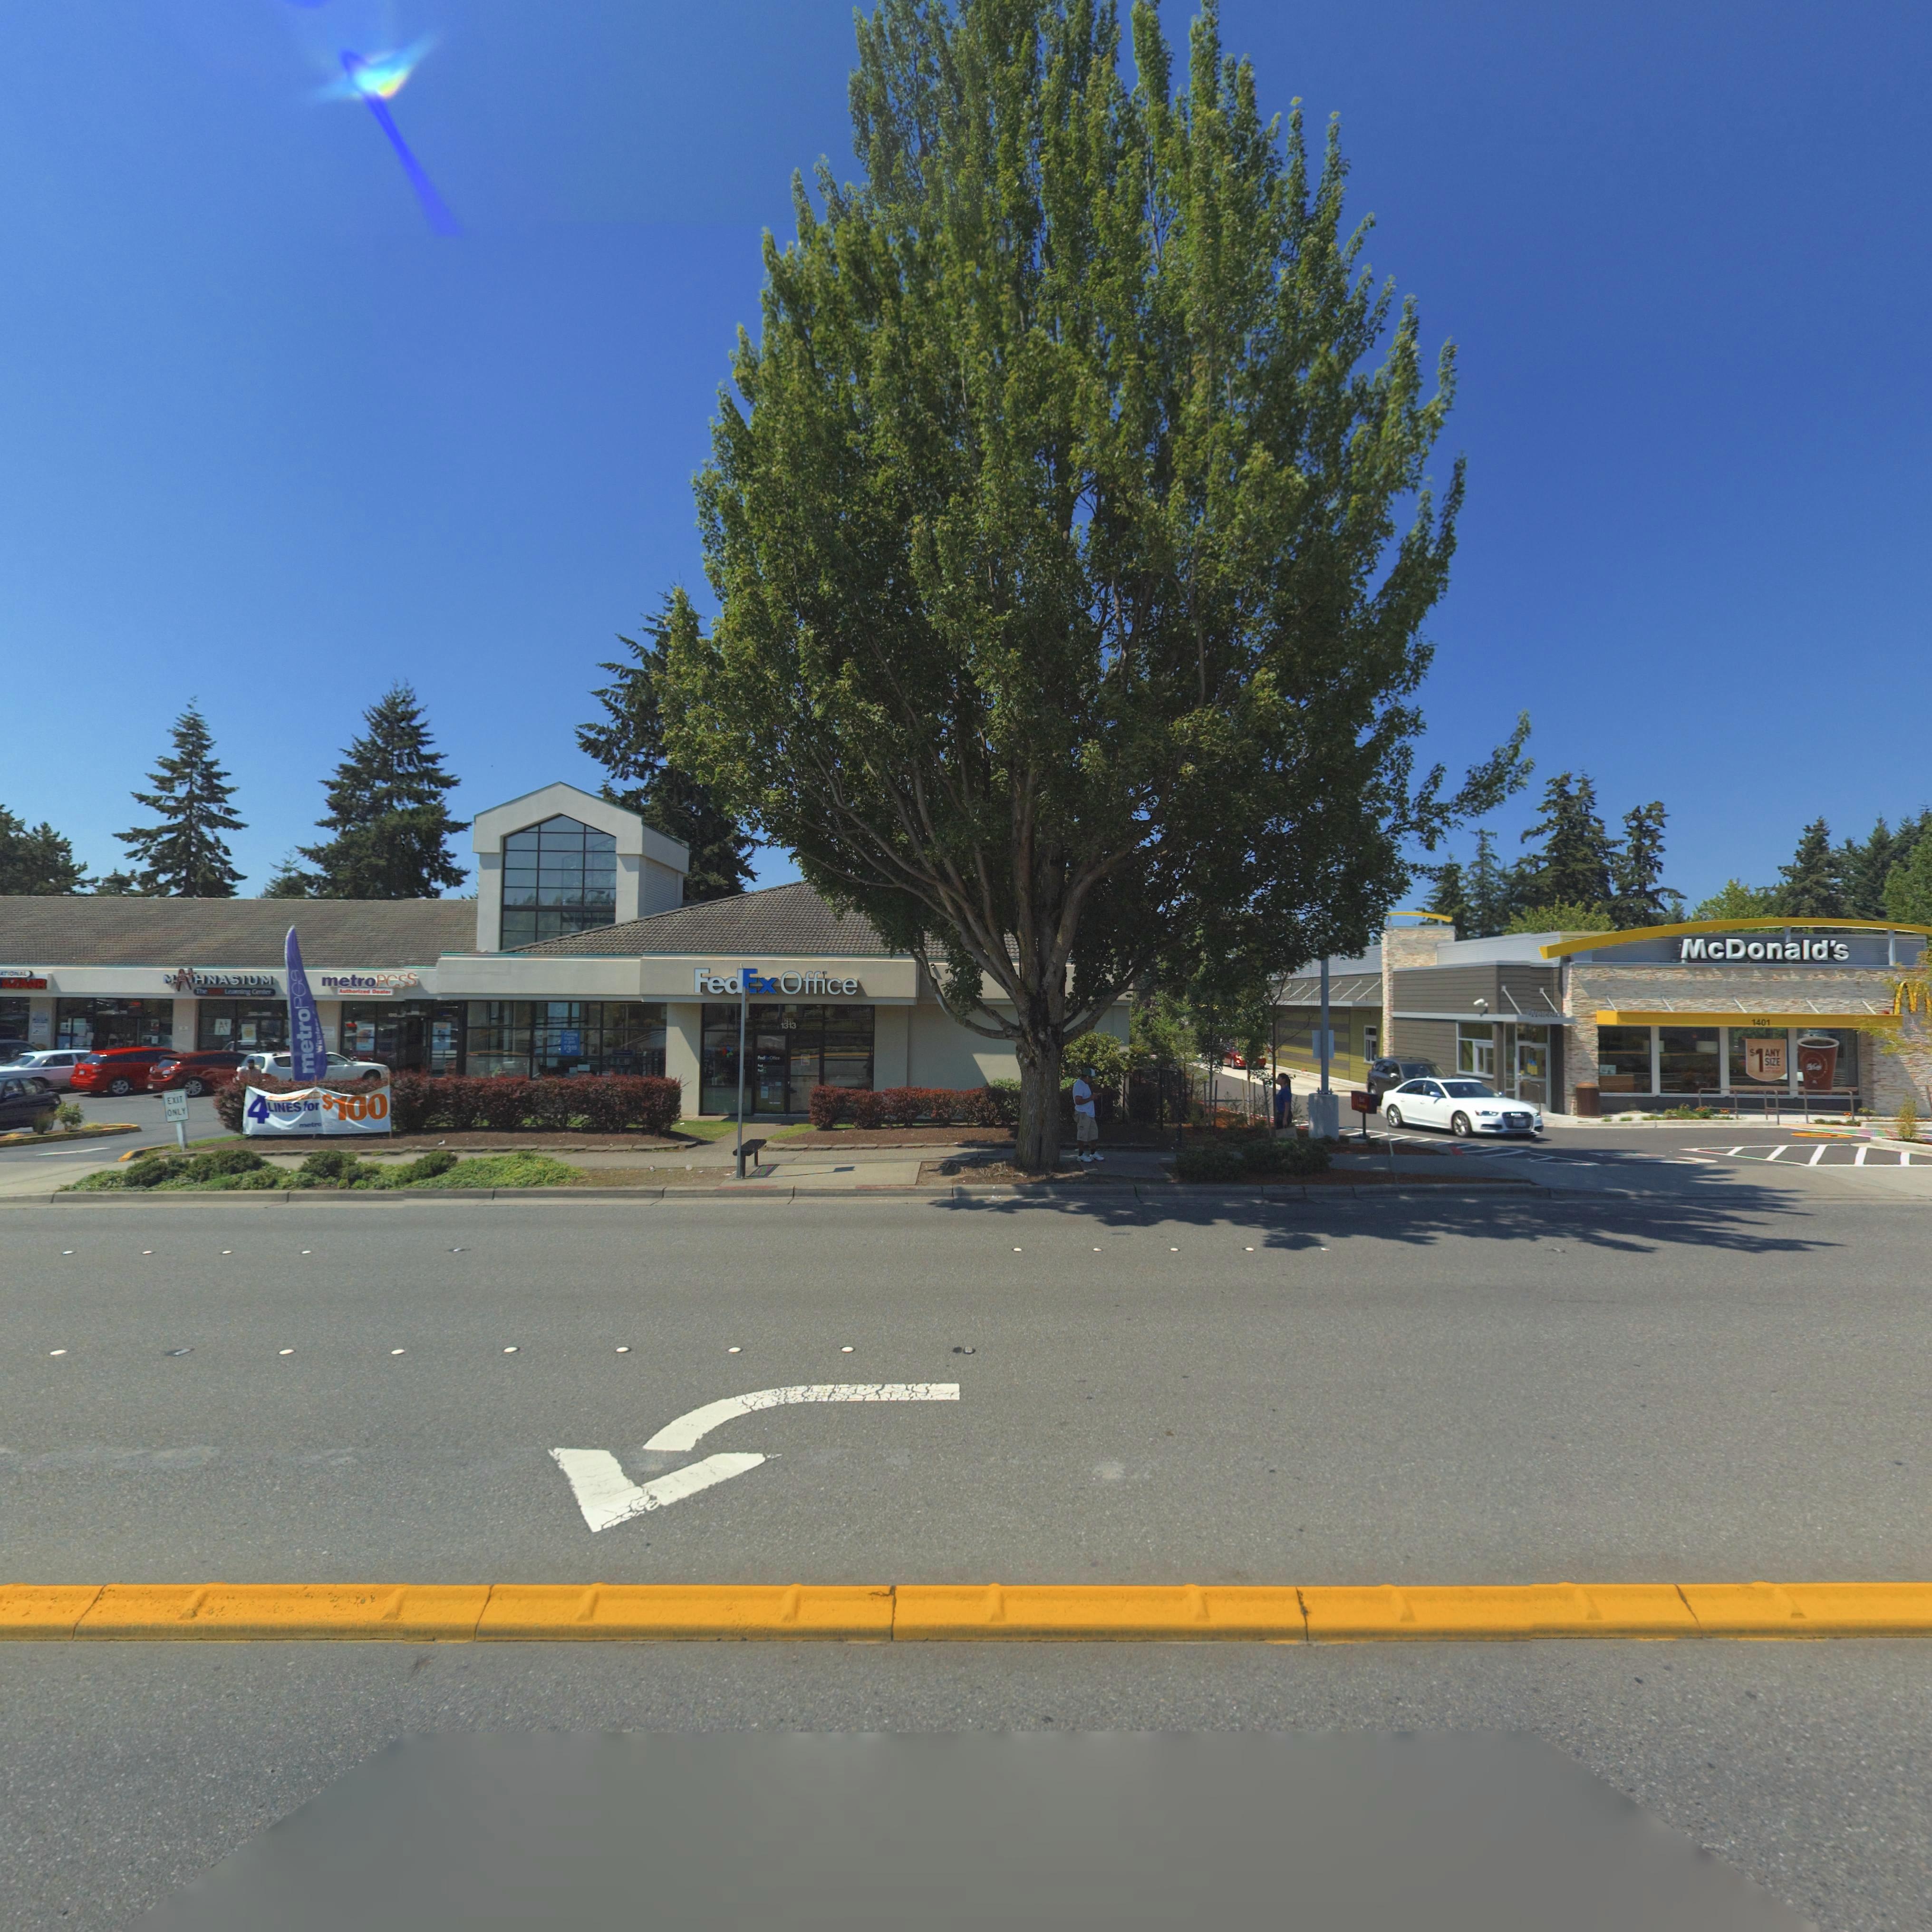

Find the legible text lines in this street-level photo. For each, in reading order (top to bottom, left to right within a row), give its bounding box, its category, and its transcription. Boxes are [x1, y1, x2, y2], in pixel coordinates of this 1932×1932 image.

[1680, 939, 1850, 961] BusinessName: McDonald's
[1, 977, 48, 989] BusinessName: AZAAR
[162, 966, 272, 992] BusinessName: M*HNASIUM
[321, 972, 416, 989] BusinessName: metroPCSS
[694, 968, 858, 995] BusinessName: FedEx Office
[290, 969, 315, 1074] BusinessName: metroPC*
[1751, 1018, 1771, 1026] StreetNumber: 1401
[299, 1122, 321, 1129] BusinessName: metro